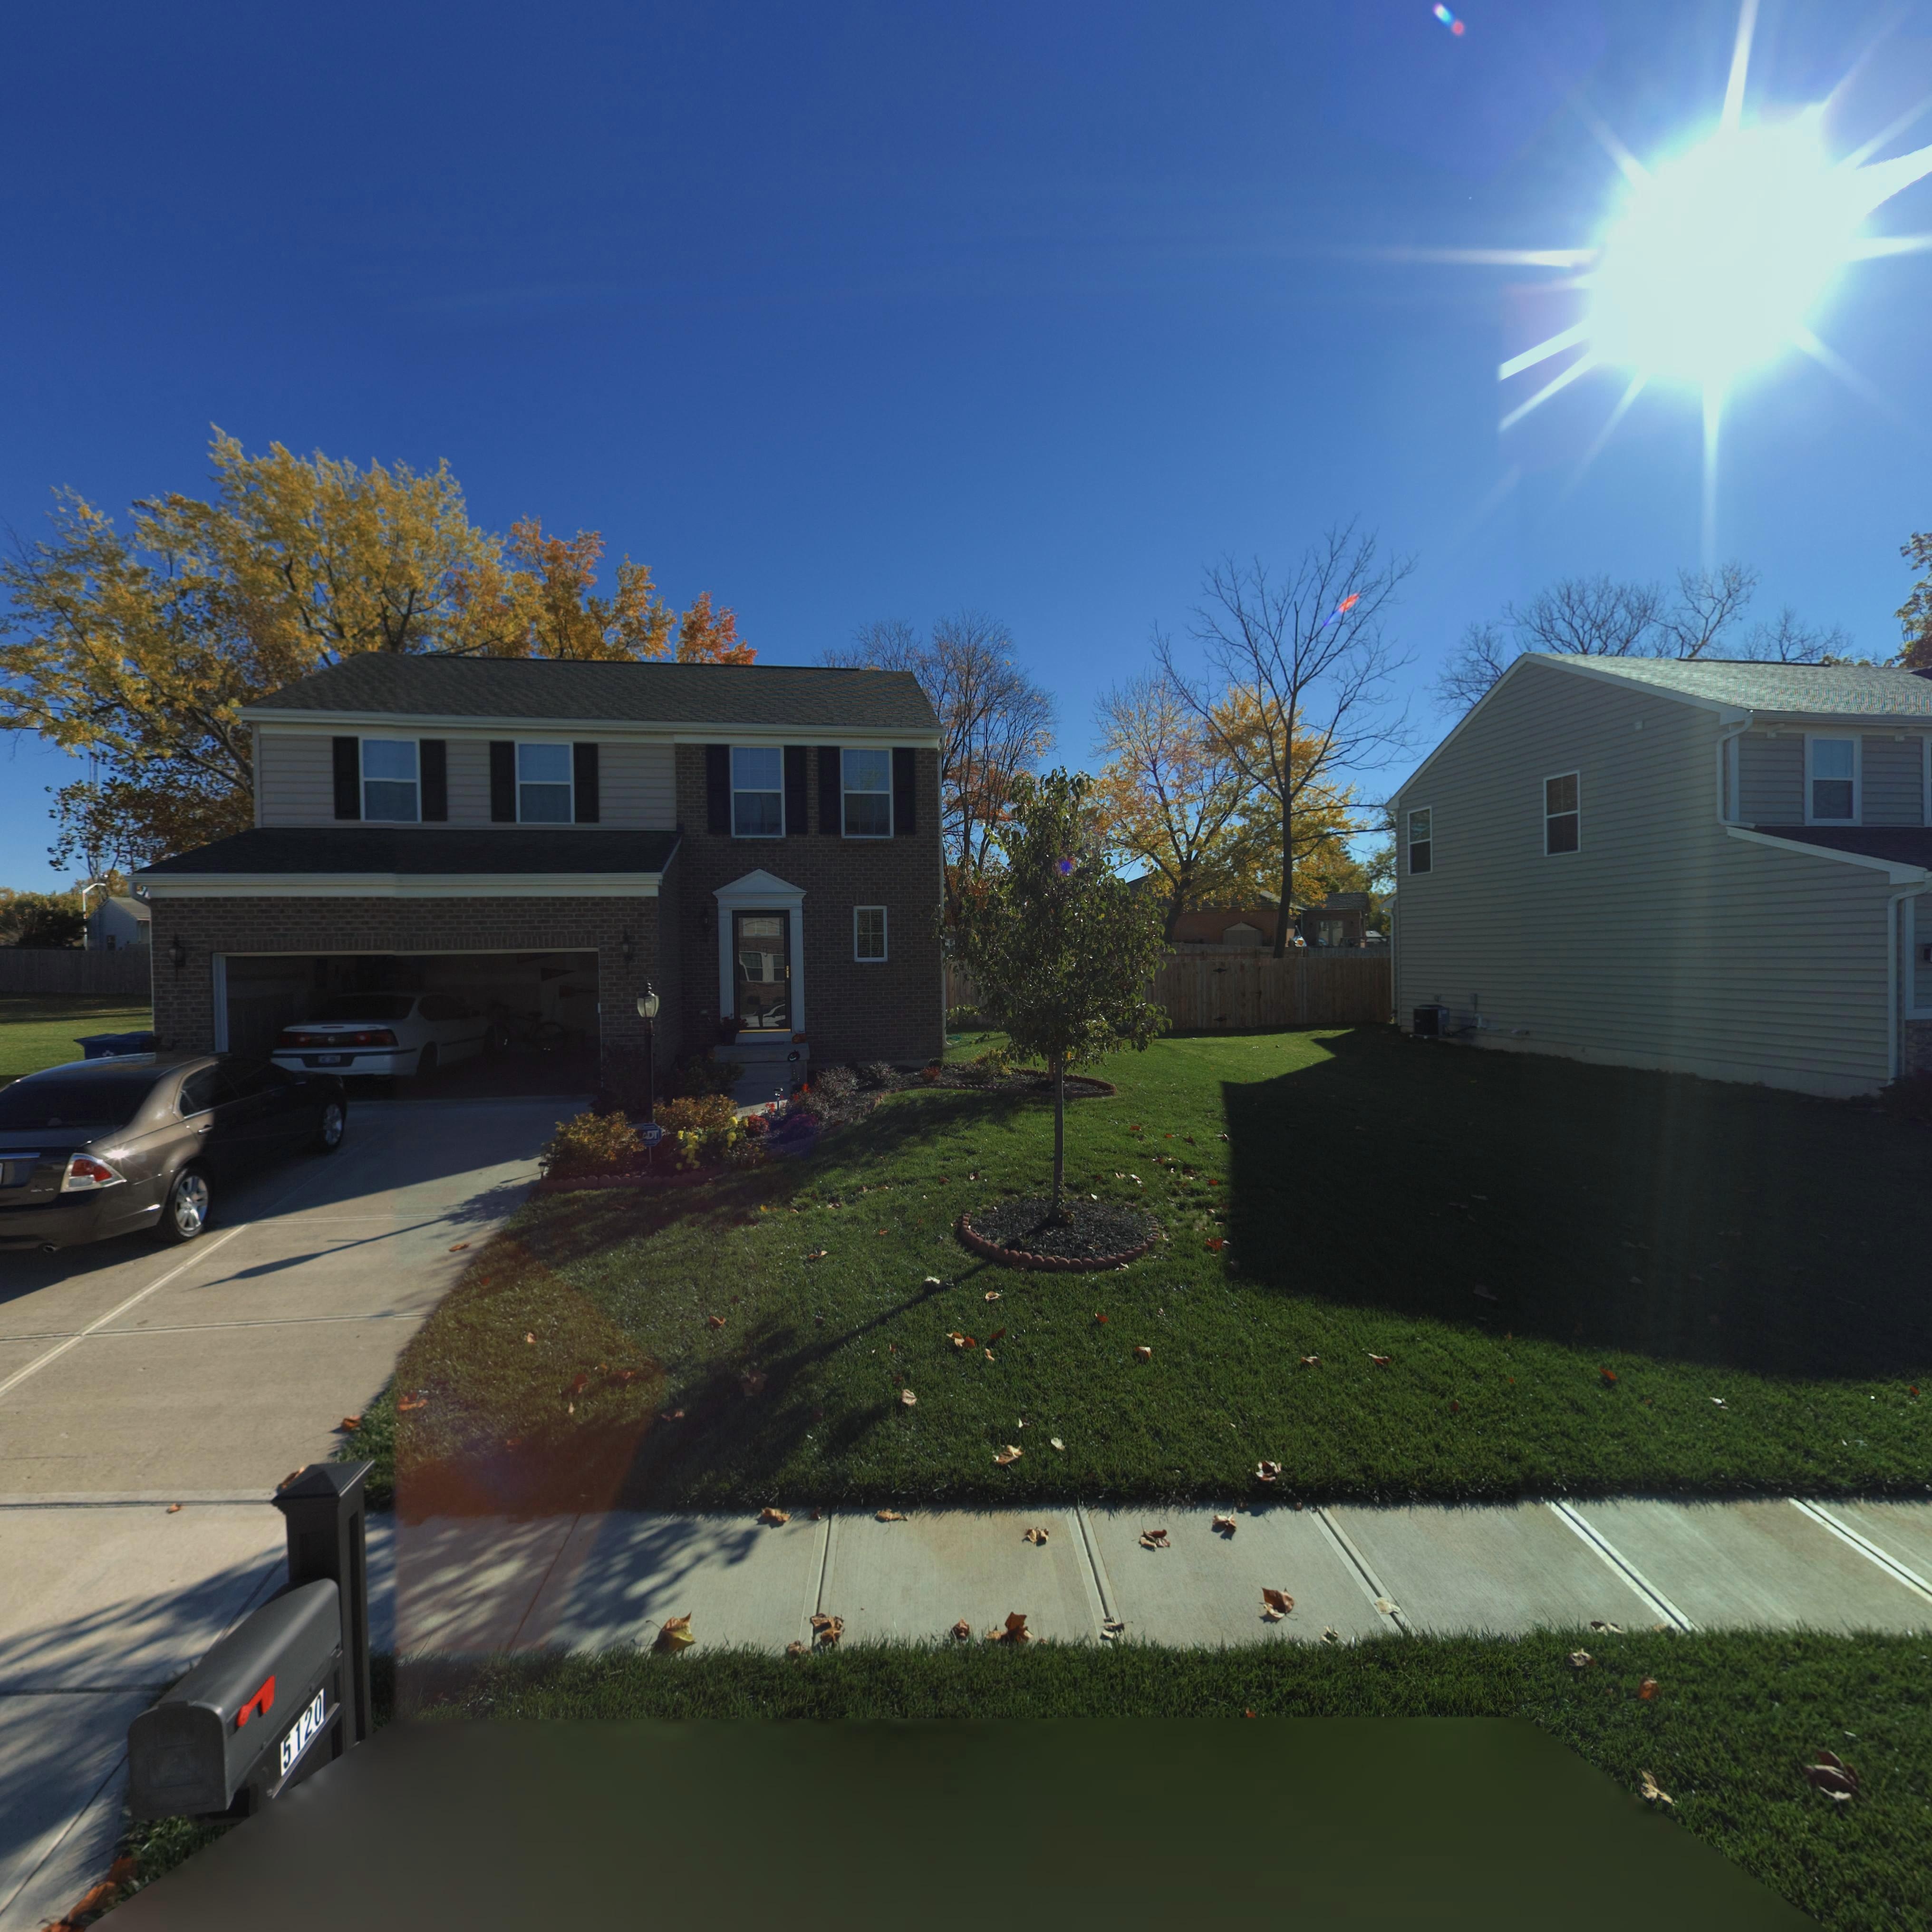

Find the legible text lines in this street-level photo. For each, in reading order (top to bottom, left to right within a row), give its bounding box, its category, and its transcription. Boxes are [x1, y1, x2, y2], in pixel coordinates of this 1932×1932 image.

[283, 1691, 322, 1773] StreetNumber: 5120